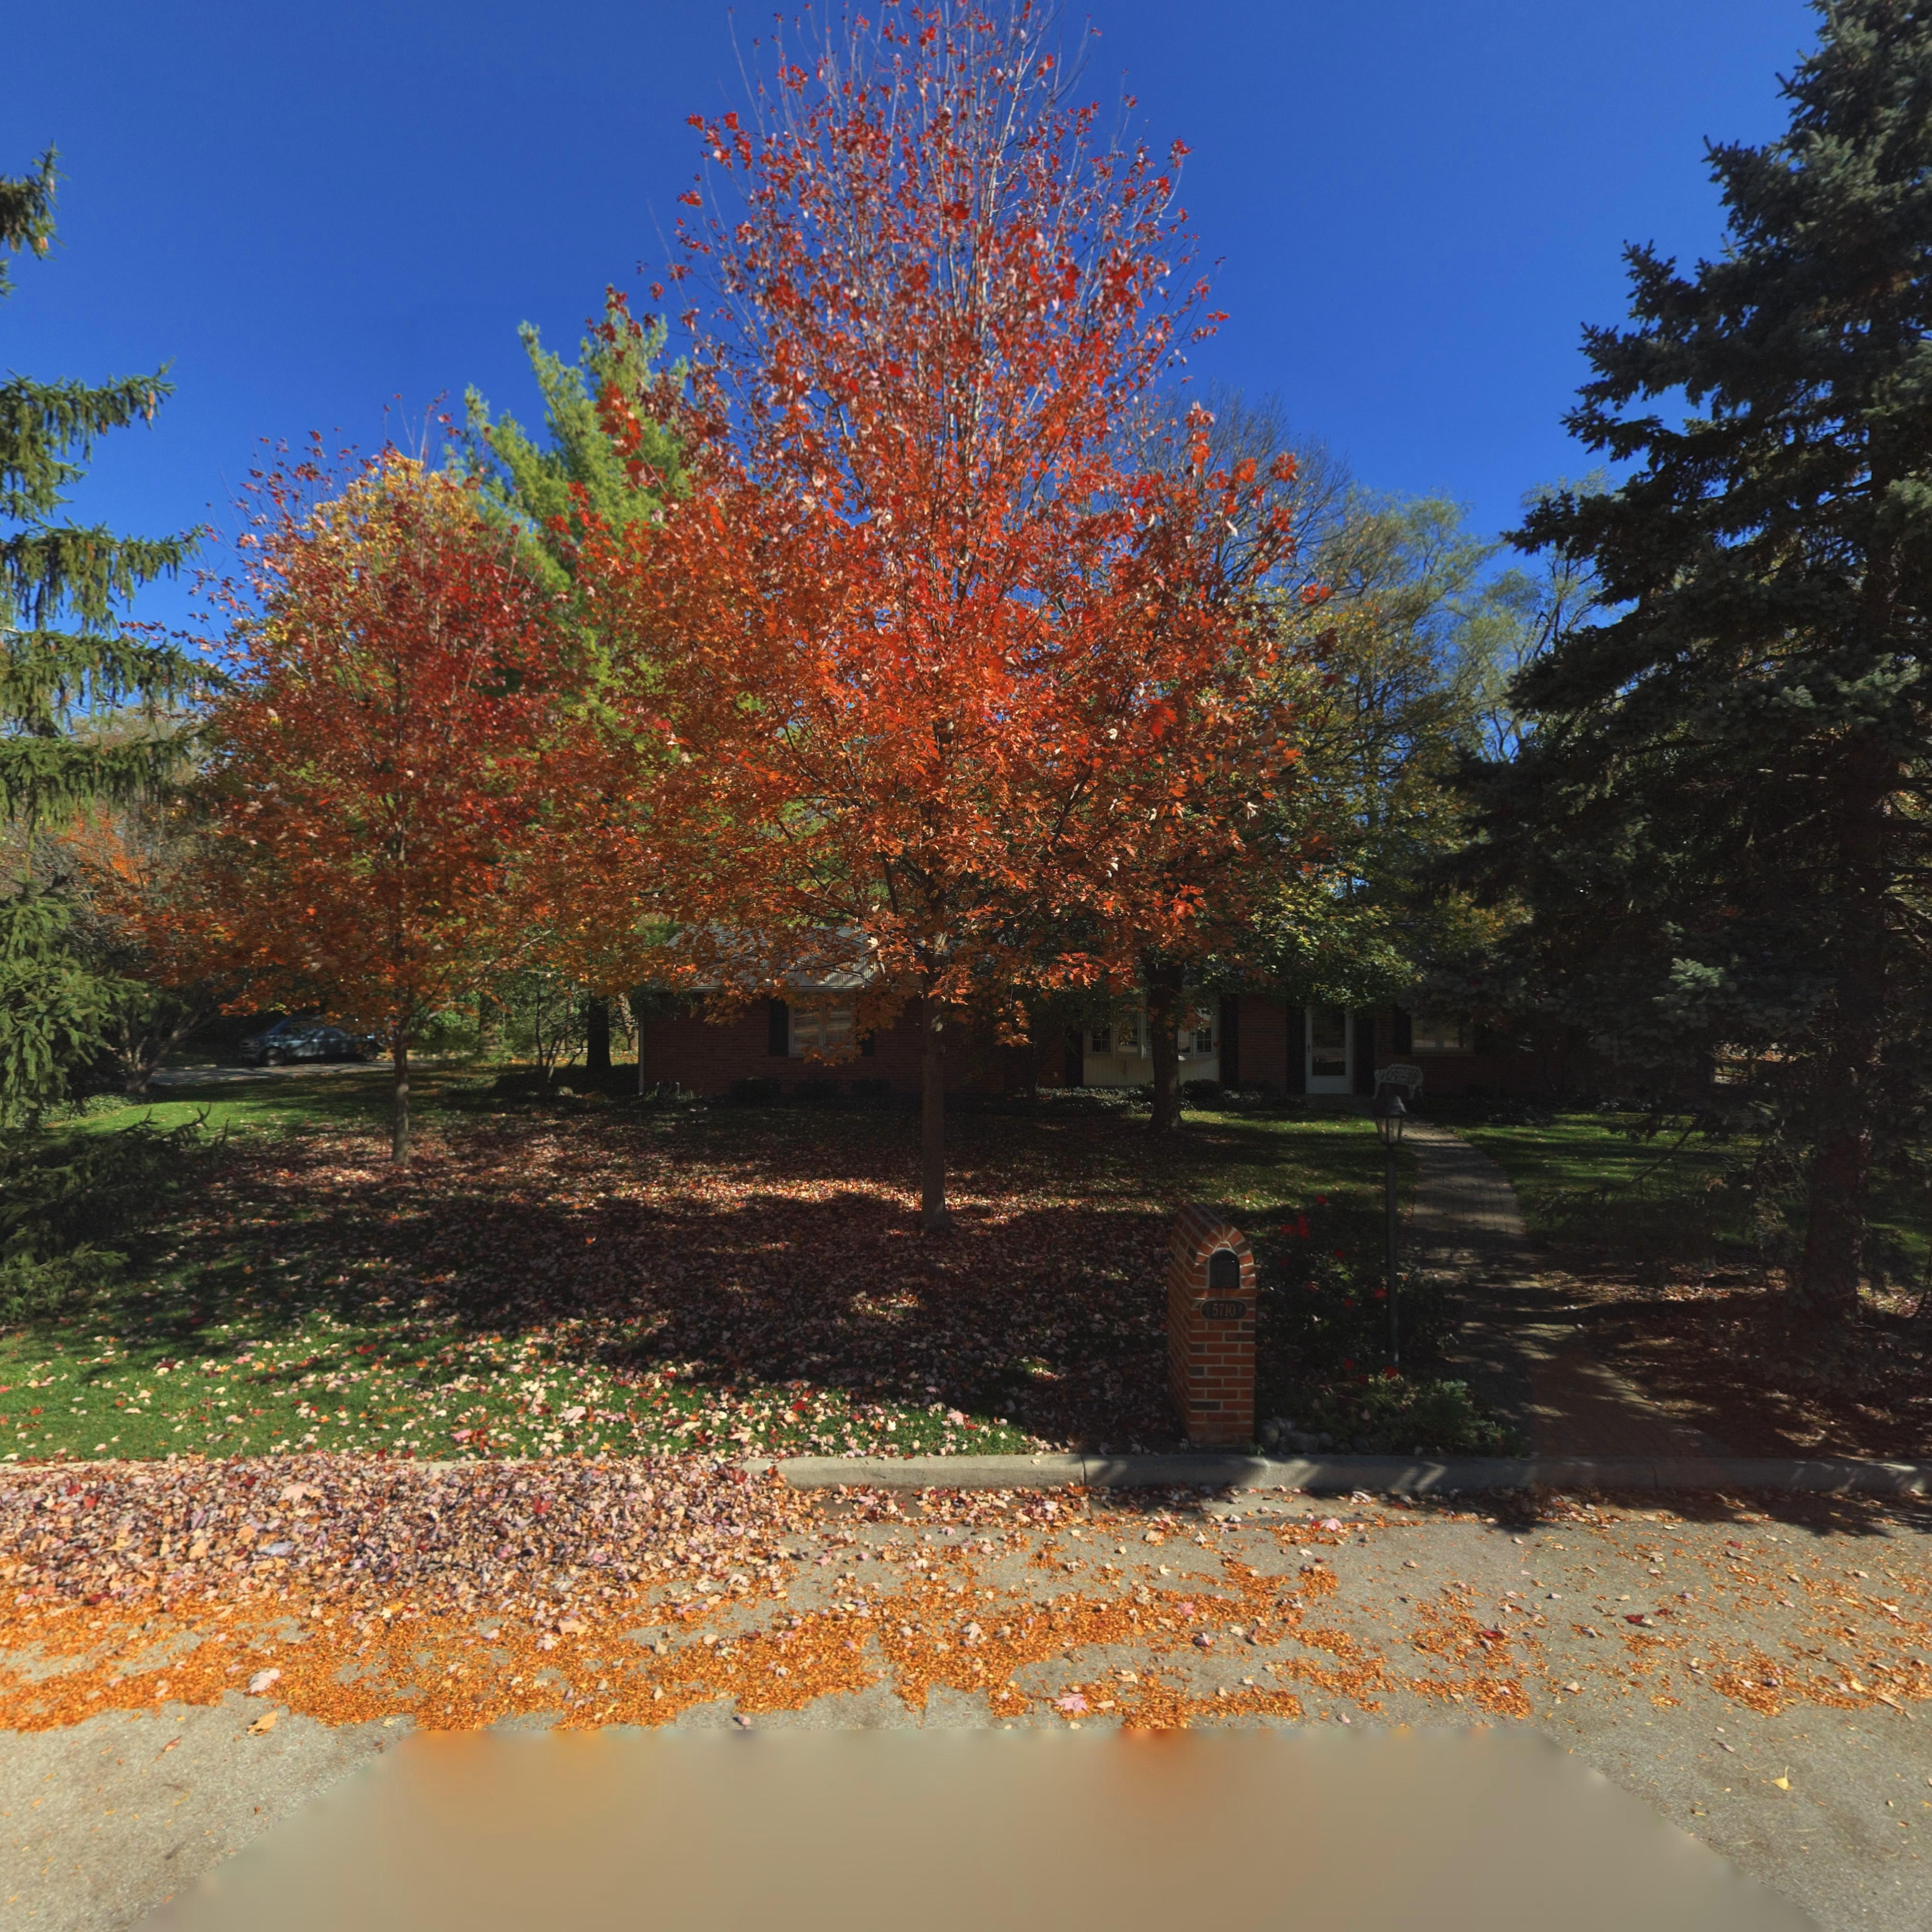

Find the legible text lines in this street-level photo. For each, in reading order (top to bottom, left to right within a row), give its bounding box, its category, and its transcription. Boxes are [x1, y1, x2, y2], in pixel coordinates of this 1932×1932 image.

[1212, 1303, 1236, 1317] StreetNumber: 5710